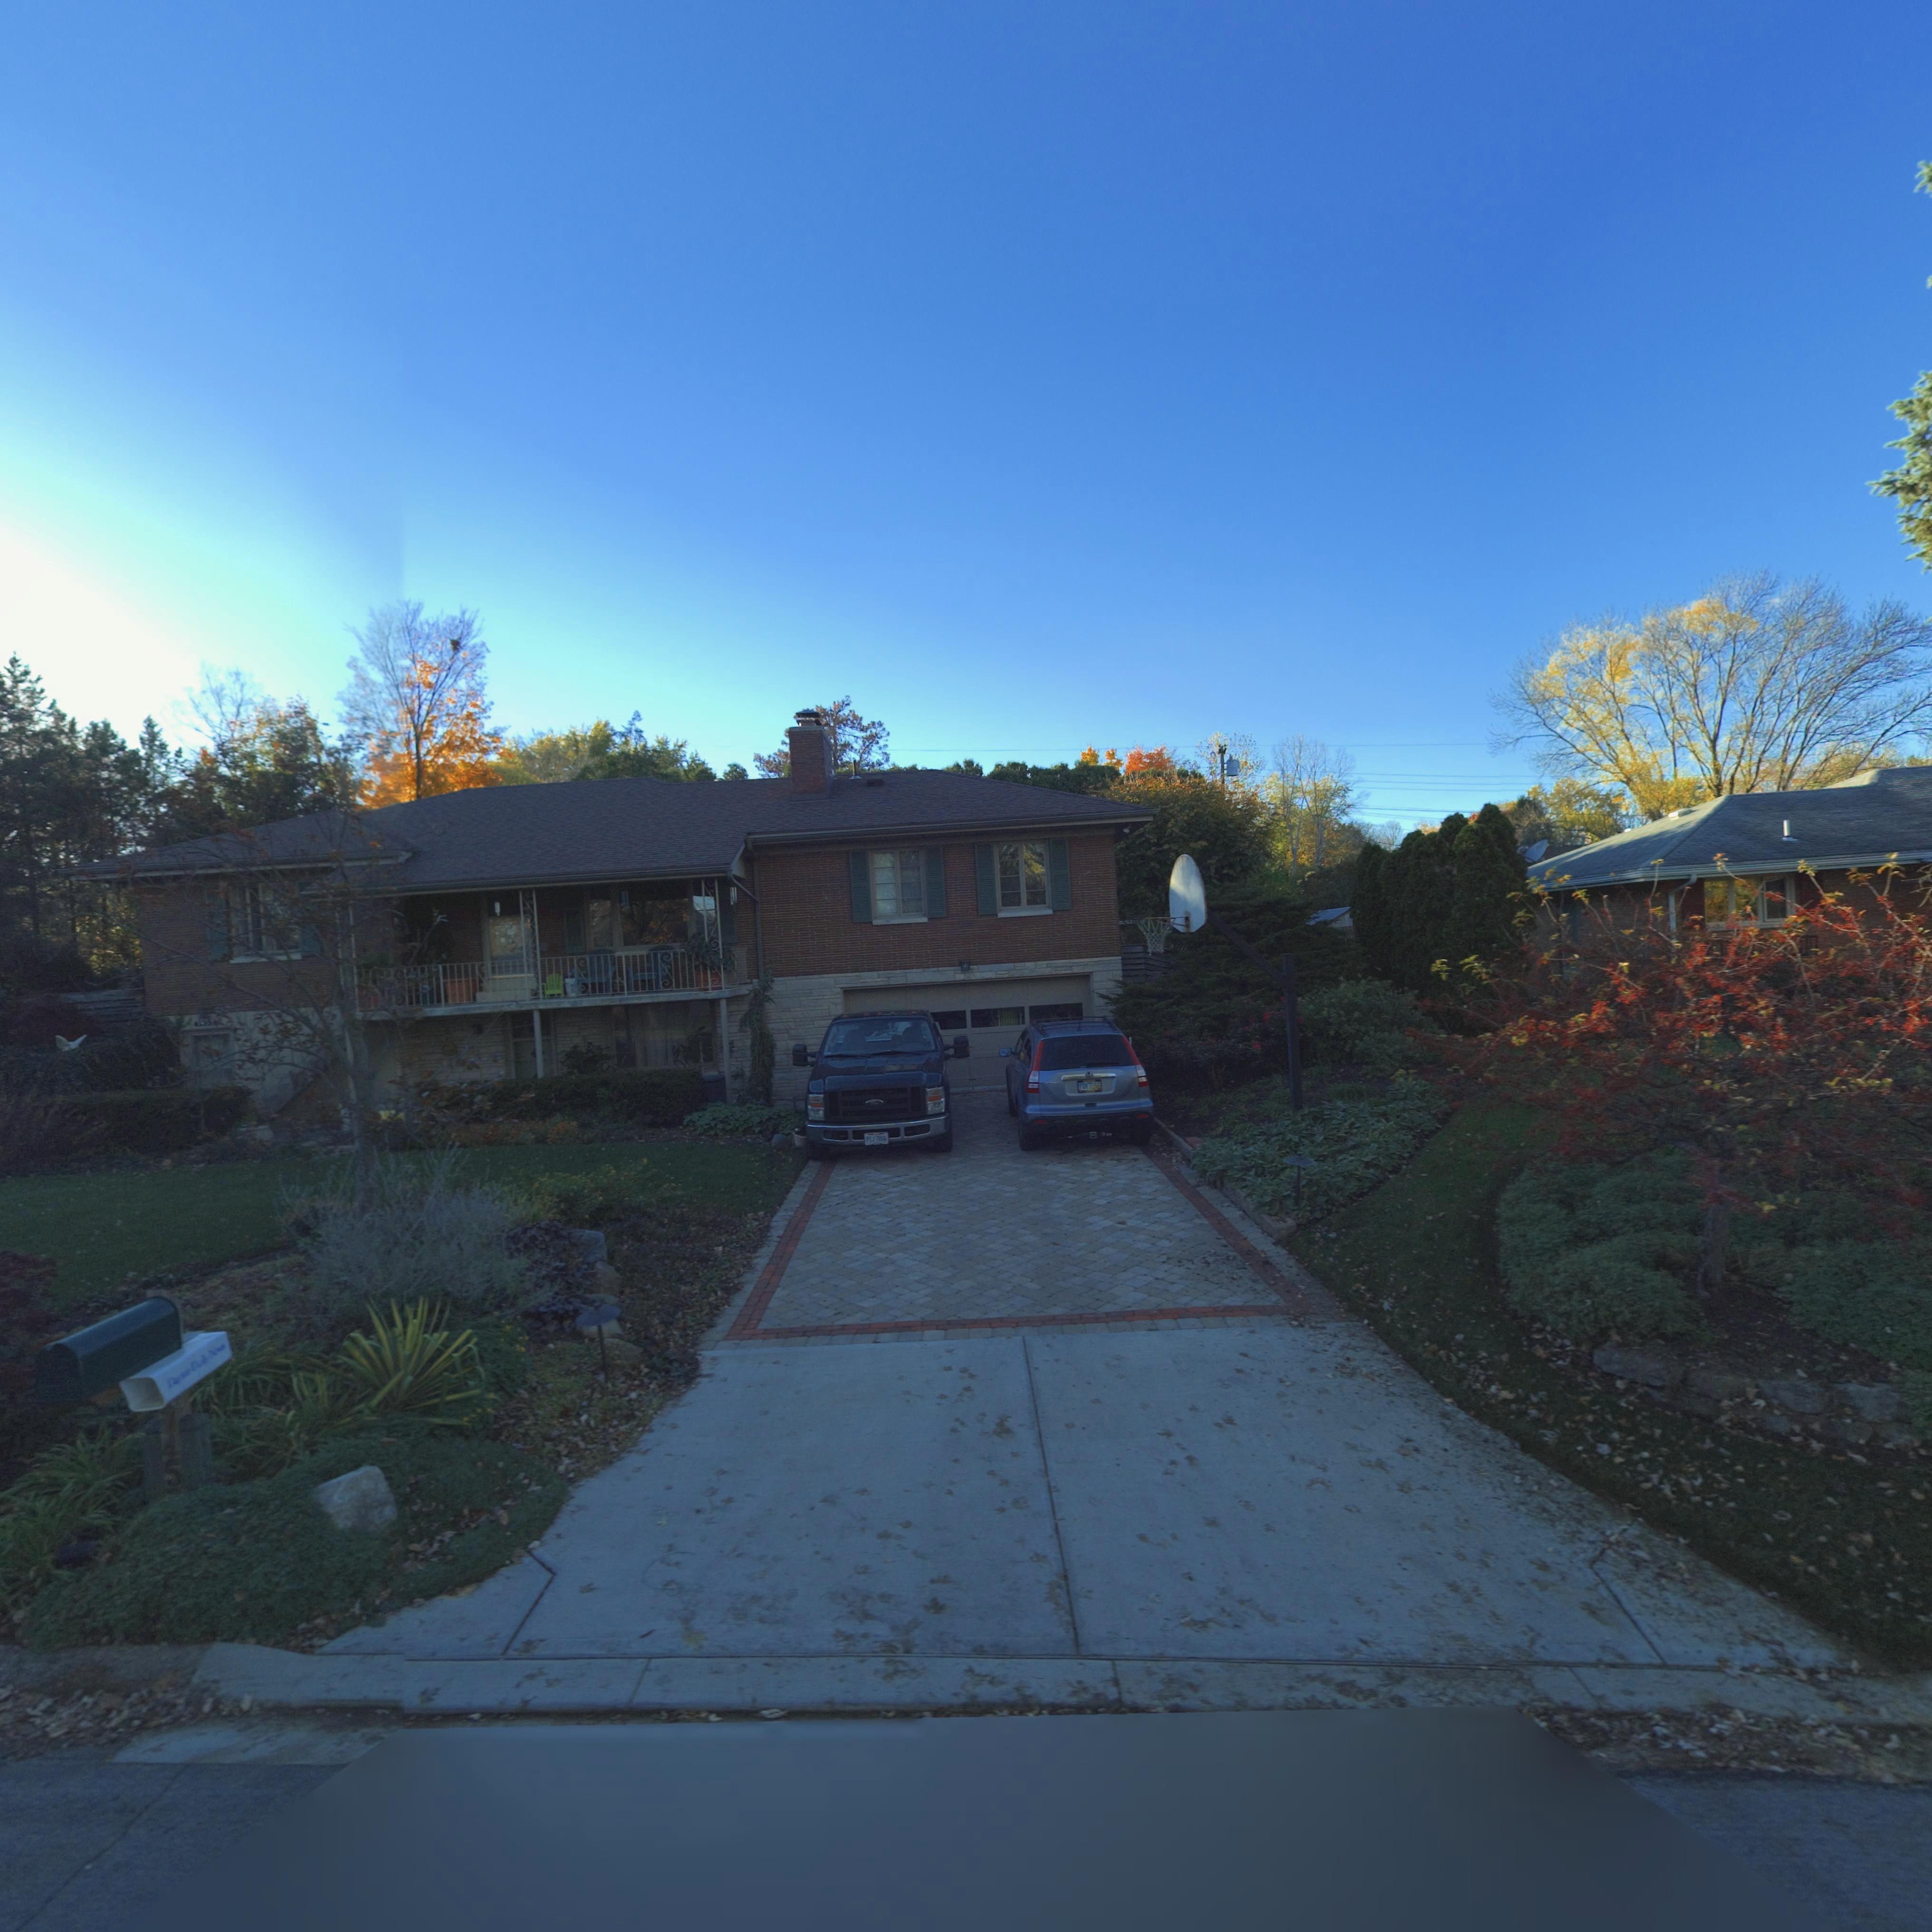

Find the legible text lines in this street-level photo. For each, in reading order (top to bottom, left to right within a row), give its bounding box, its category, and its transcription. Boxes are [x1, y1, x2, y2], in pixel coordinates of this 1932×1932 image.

[163, 1455, 184, 1490] StreetNumber: 5